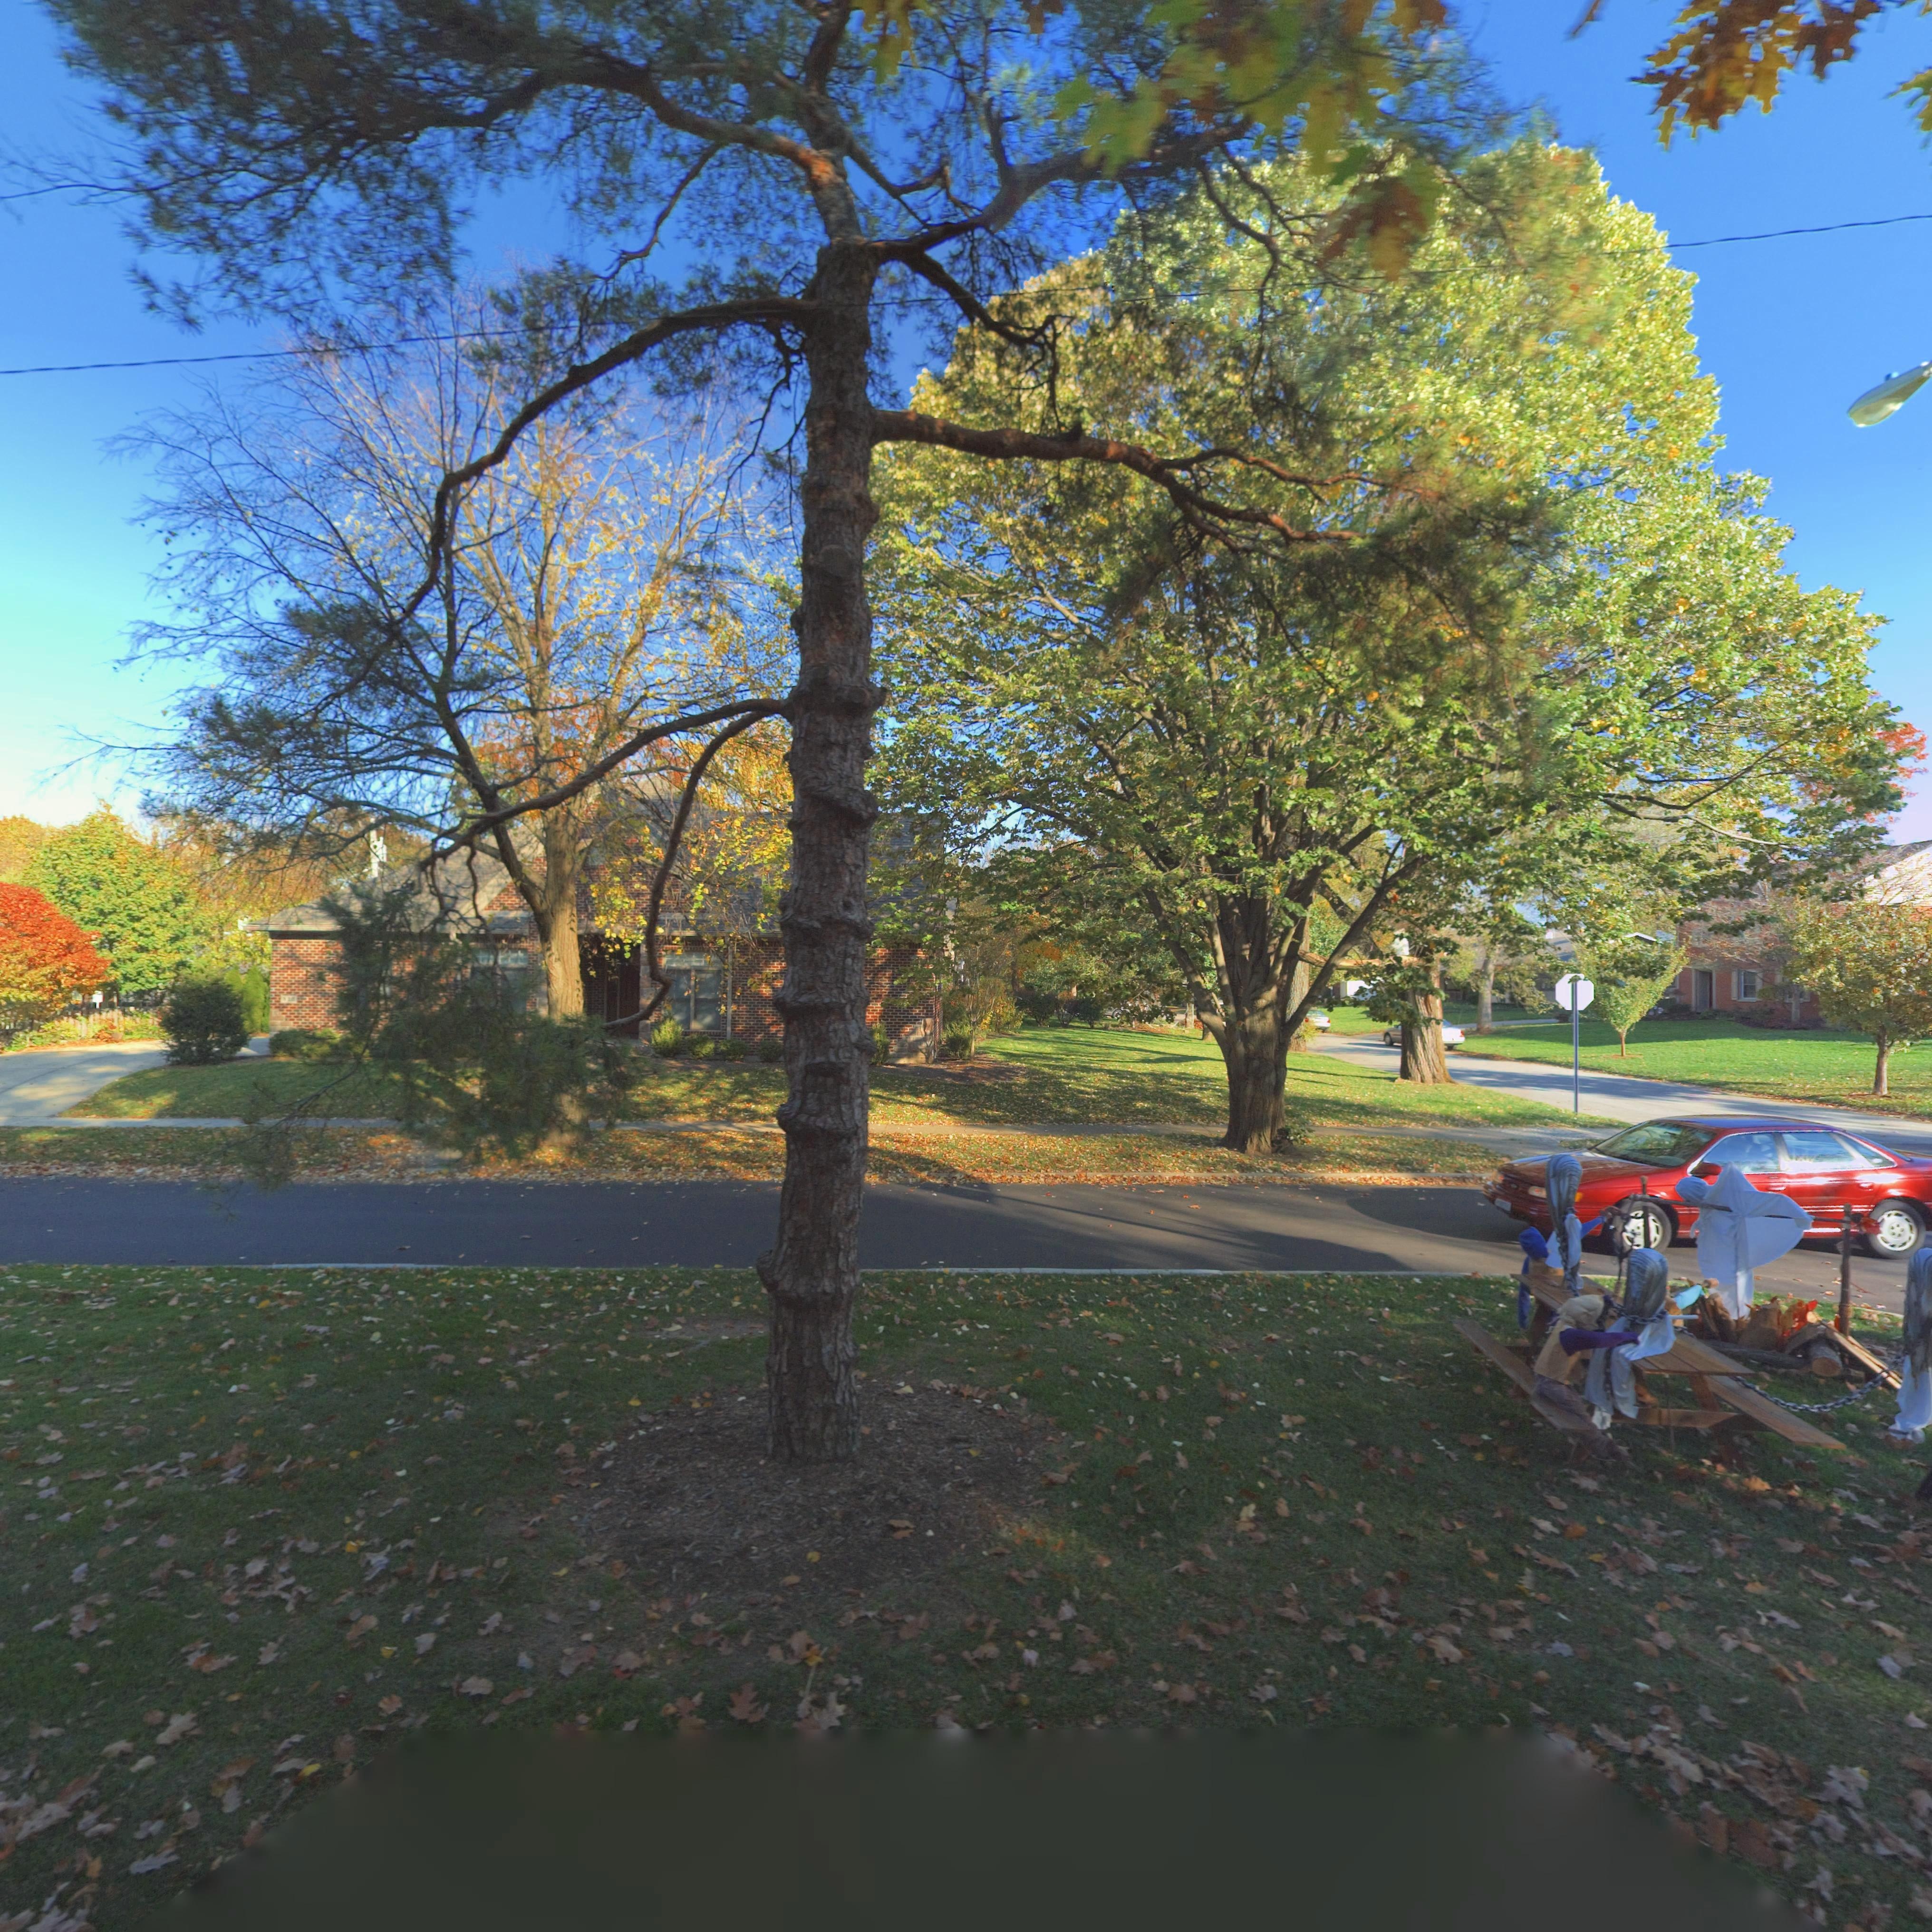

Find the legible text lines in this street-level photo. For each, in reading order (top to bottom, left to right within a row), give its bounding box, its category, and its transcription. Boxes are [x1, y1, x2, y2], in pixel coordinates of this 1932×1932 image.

[281, 996, 295, 1001] StreetNumber: 820